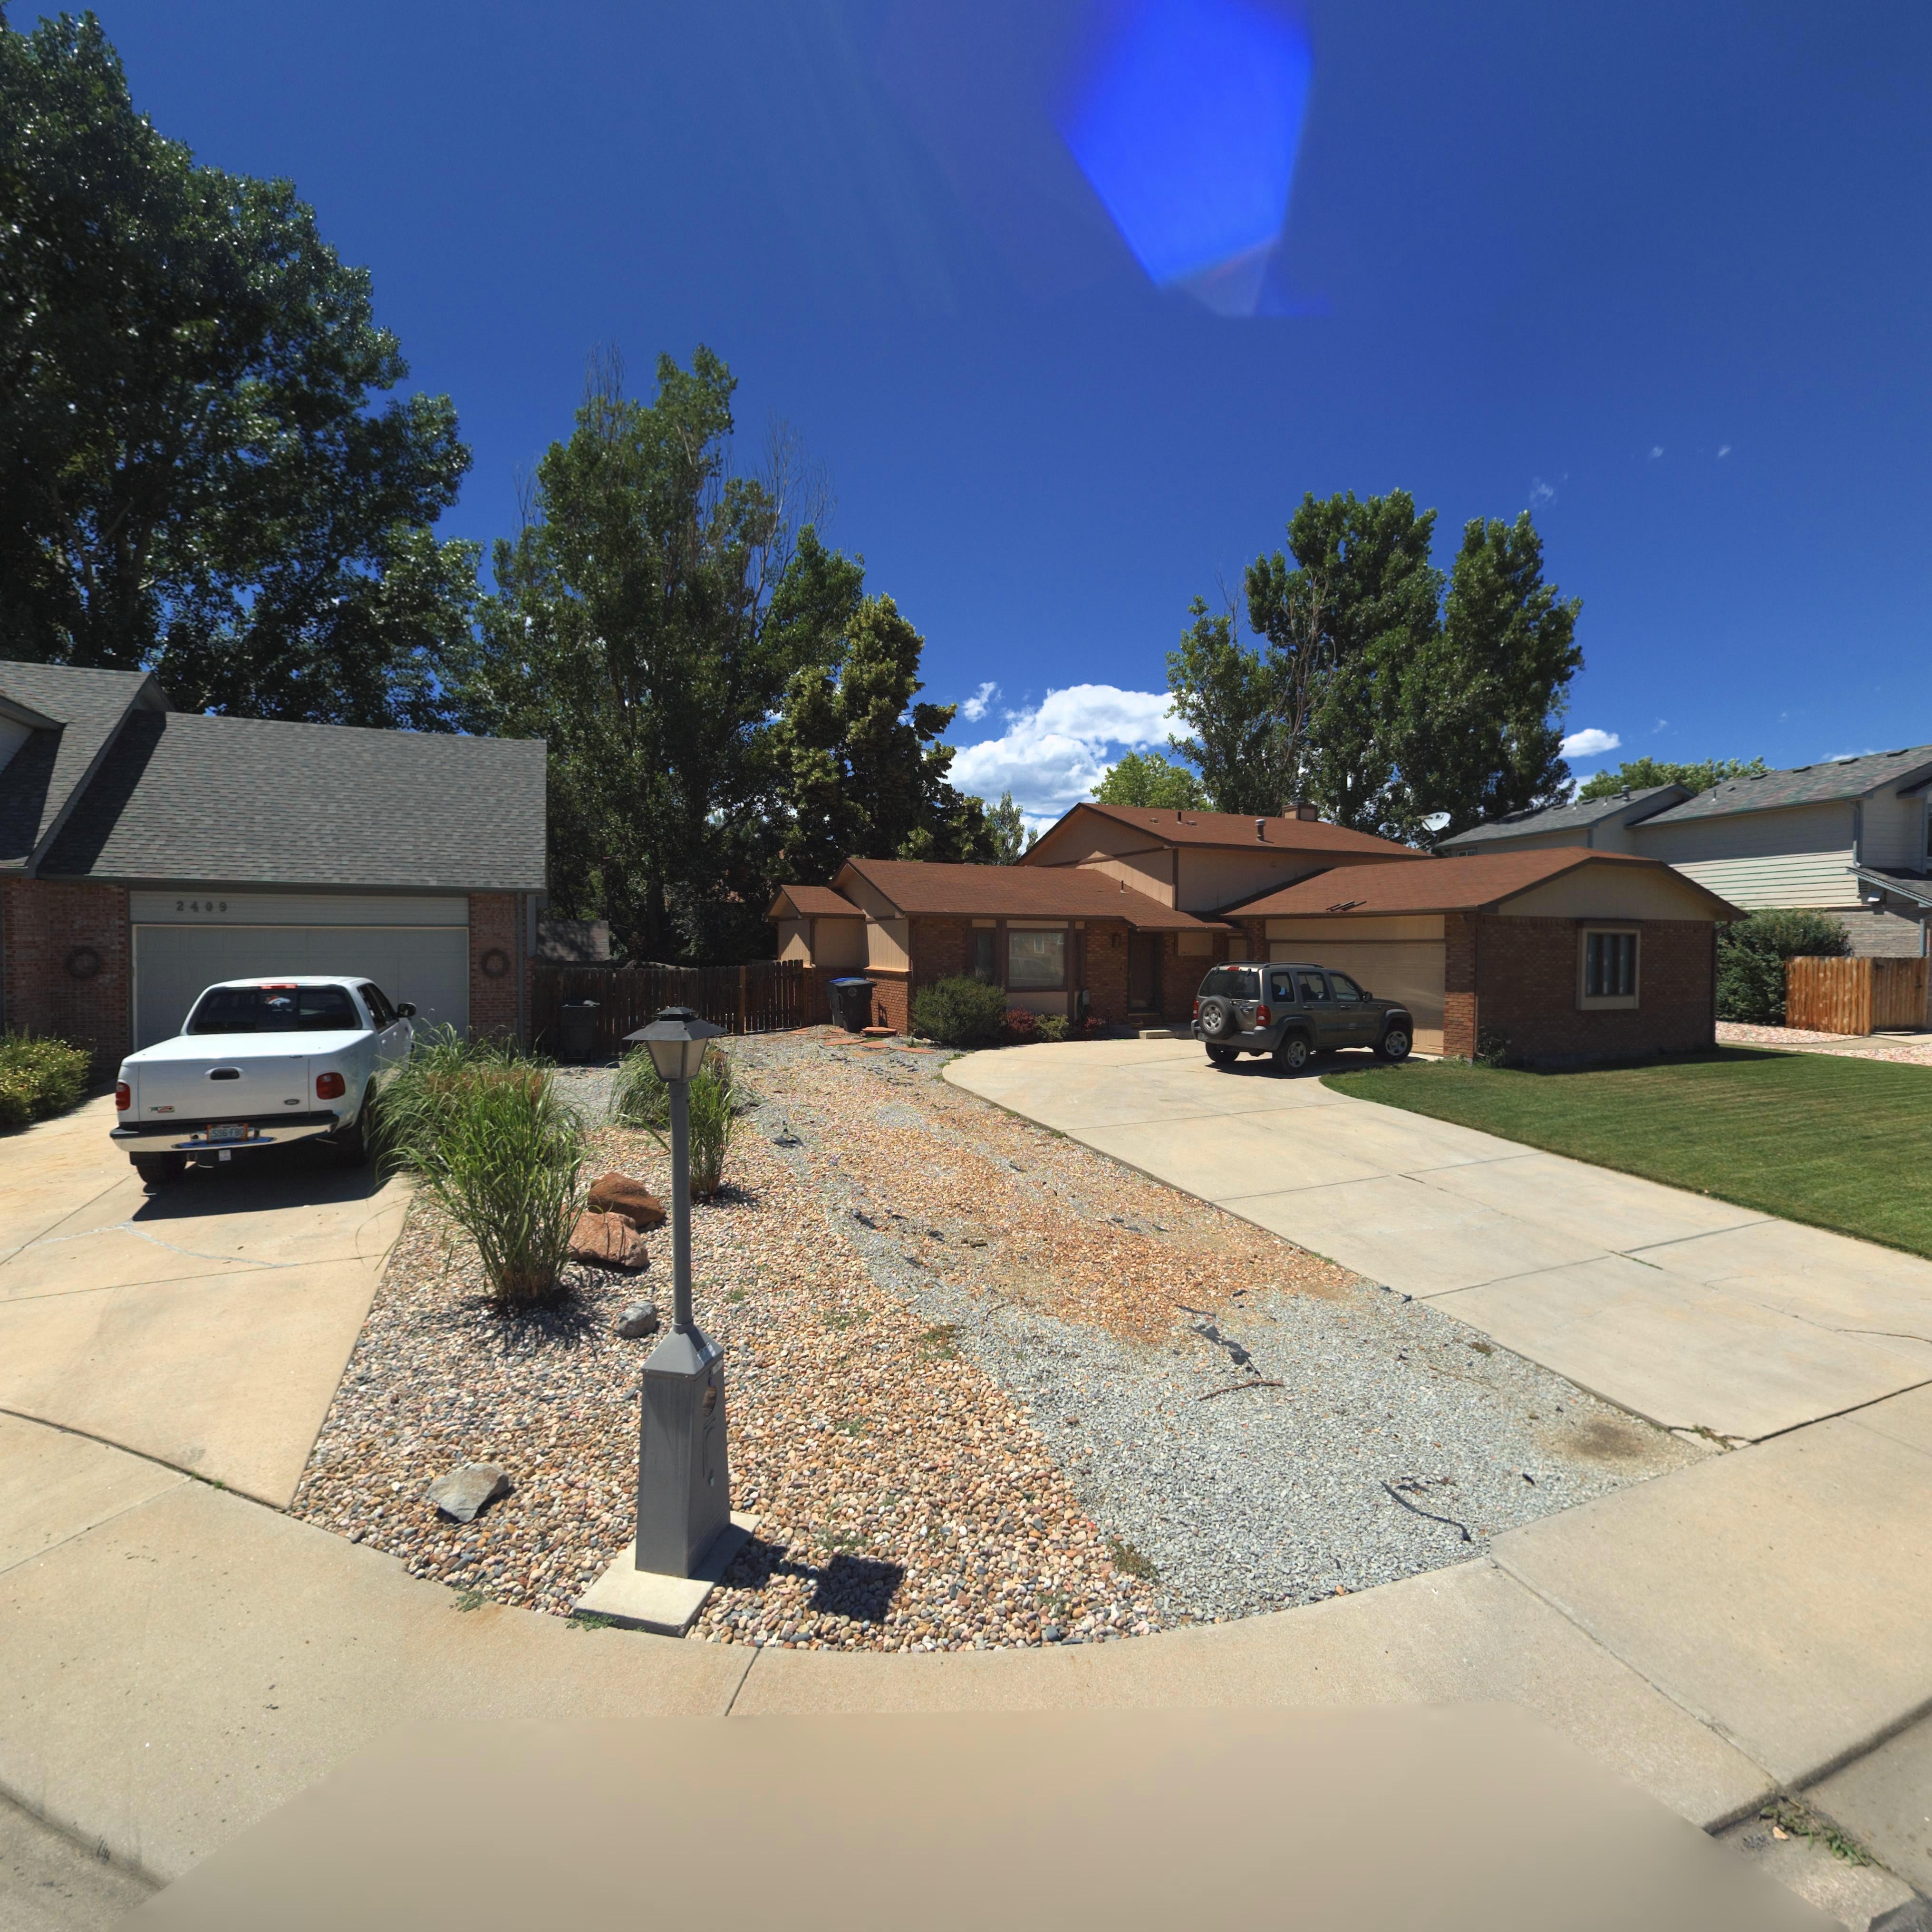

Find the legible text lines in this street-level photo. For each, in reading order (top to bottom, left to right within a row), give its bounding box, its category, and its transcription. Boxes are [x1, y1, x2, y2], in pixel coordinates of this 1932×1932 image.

[176, 900, 228, 912] StreetNumber: 2409
[1180, 950, 1191, 955] StreetNumber: 2411